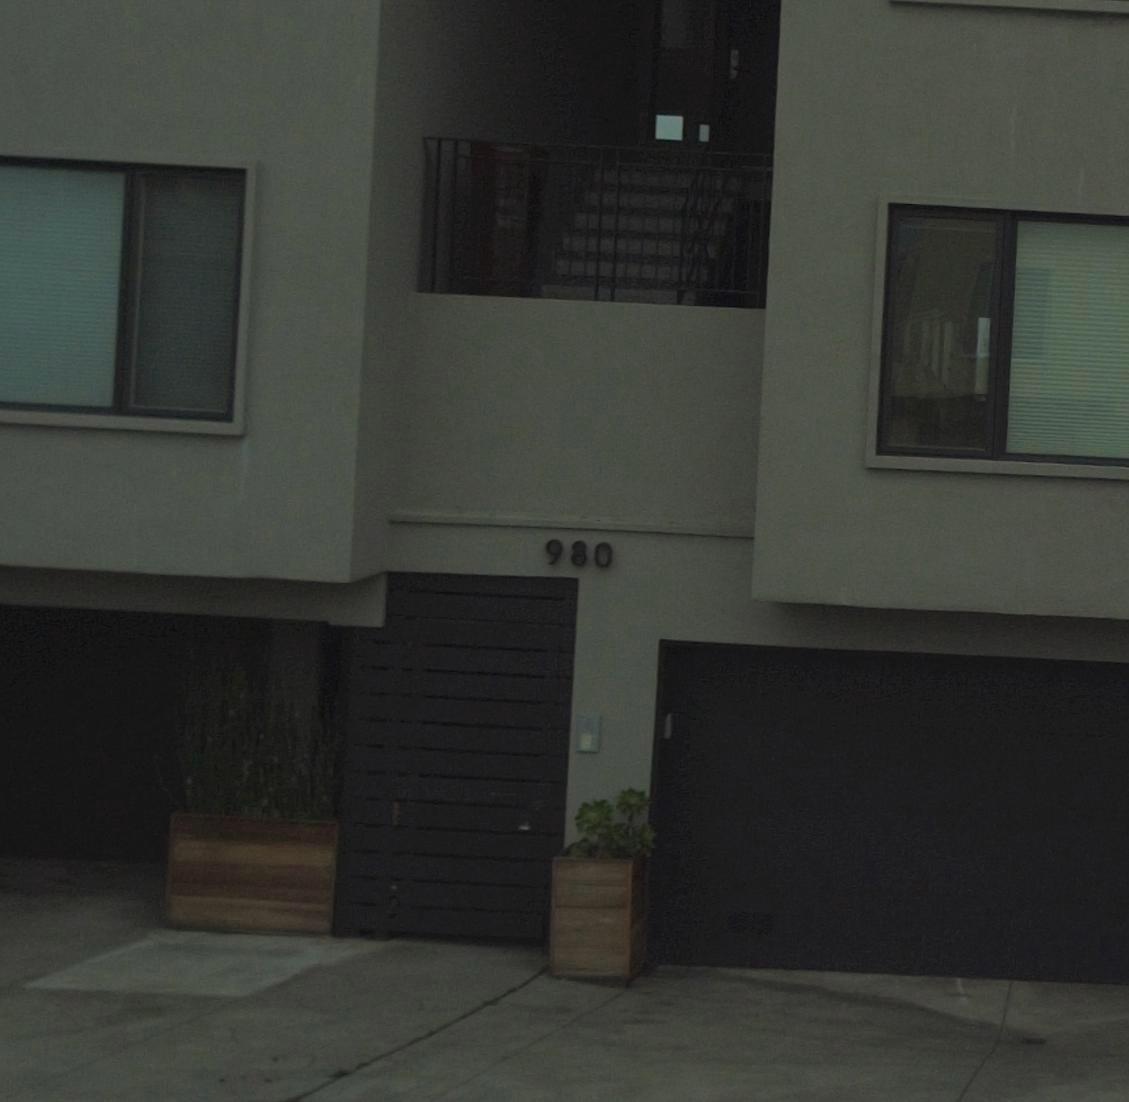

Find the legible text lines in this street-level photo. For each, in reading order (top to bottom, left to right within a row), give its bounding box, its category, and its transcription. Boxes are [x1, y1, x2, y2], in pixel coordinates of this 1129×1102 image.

[544, 536, 616, 570] StreetNumber: 980